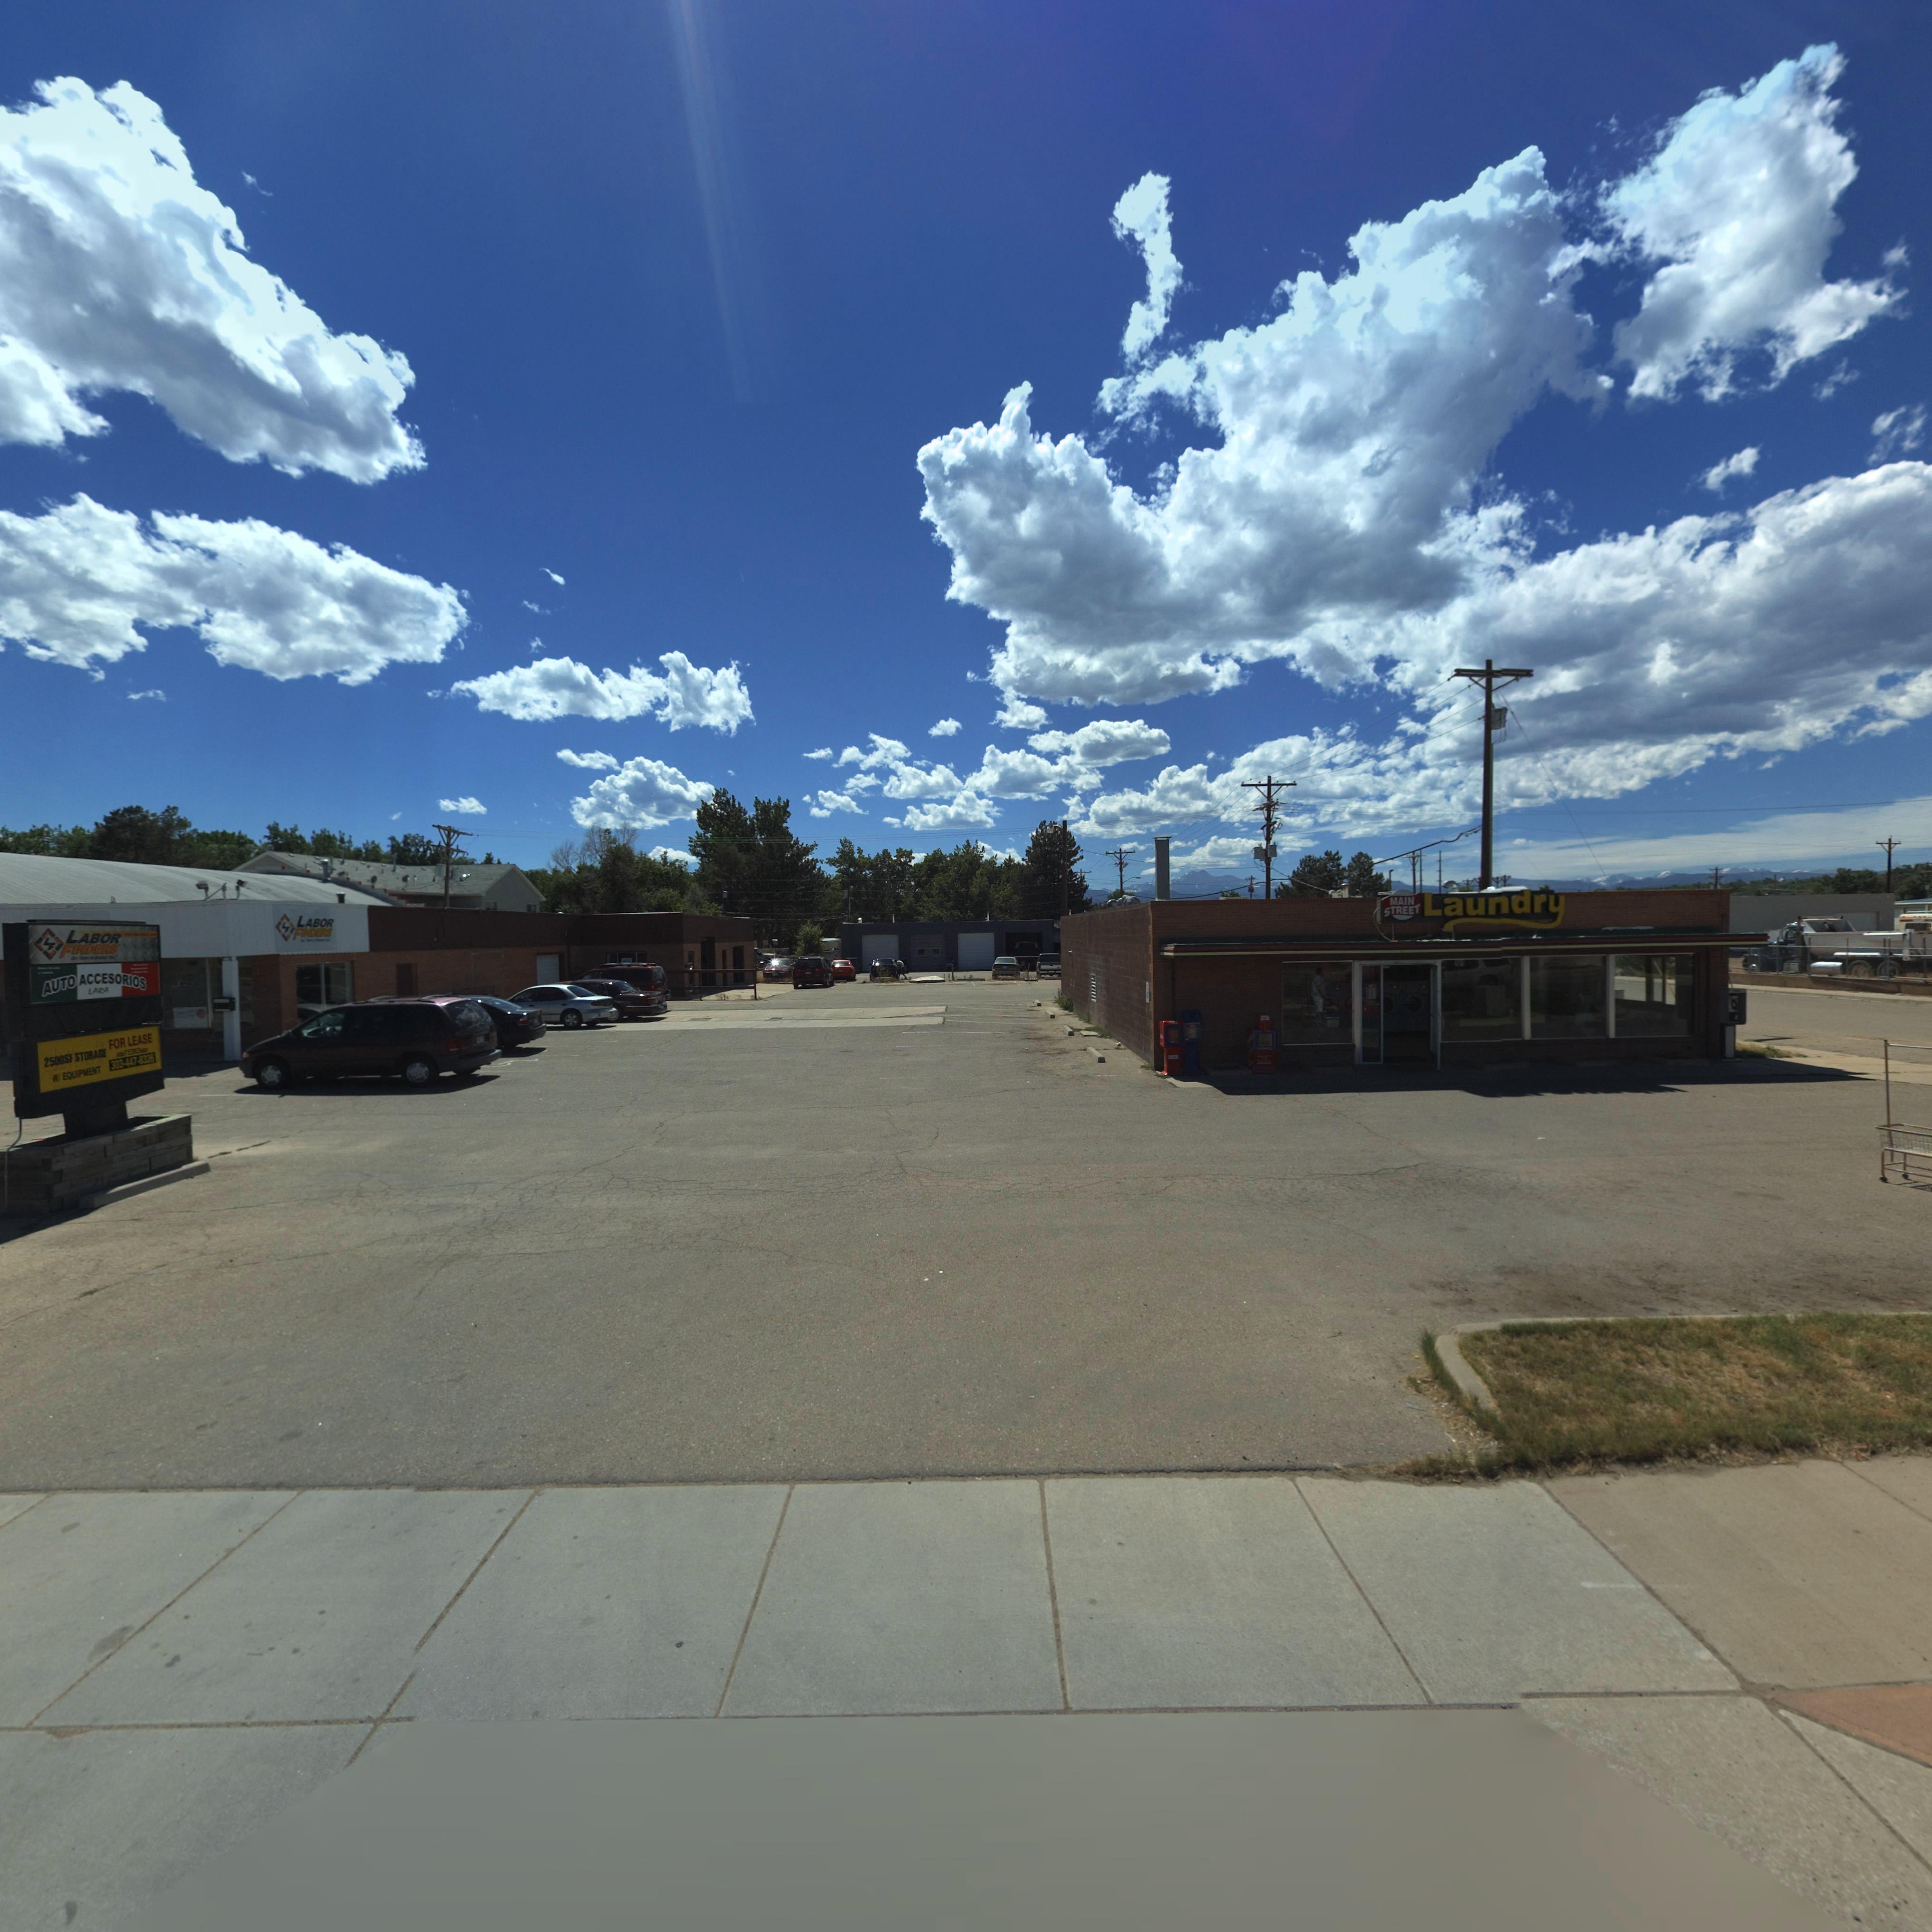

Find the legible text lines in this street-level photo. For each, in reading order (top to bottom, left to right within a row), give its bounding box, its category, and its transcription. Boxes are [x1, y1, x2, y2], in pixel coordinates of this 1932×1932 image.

[1390, 896, 1414, 905] BusinessName: MAIN
[1383, 903, 1421, 917] BusinessName: STREET
[1422, 889, 1566, 927] BusinessName: Laundry
[296, 915, 334, 928] BusinessName: LABOR
[65, 929, 122, 944] BusinessName: LABOR
[291, 927, 333, 941] BusinessName: FINDERS
[58, 944, 119, 959] BusinessName: FINDERS
[1454, 960, 1464, 966] StreetNumber: *01
[42, 972, 146, 996] BusinessName: AUTO ACCESORIOS
[87, 986, 109, 995] BusinessName: LARA